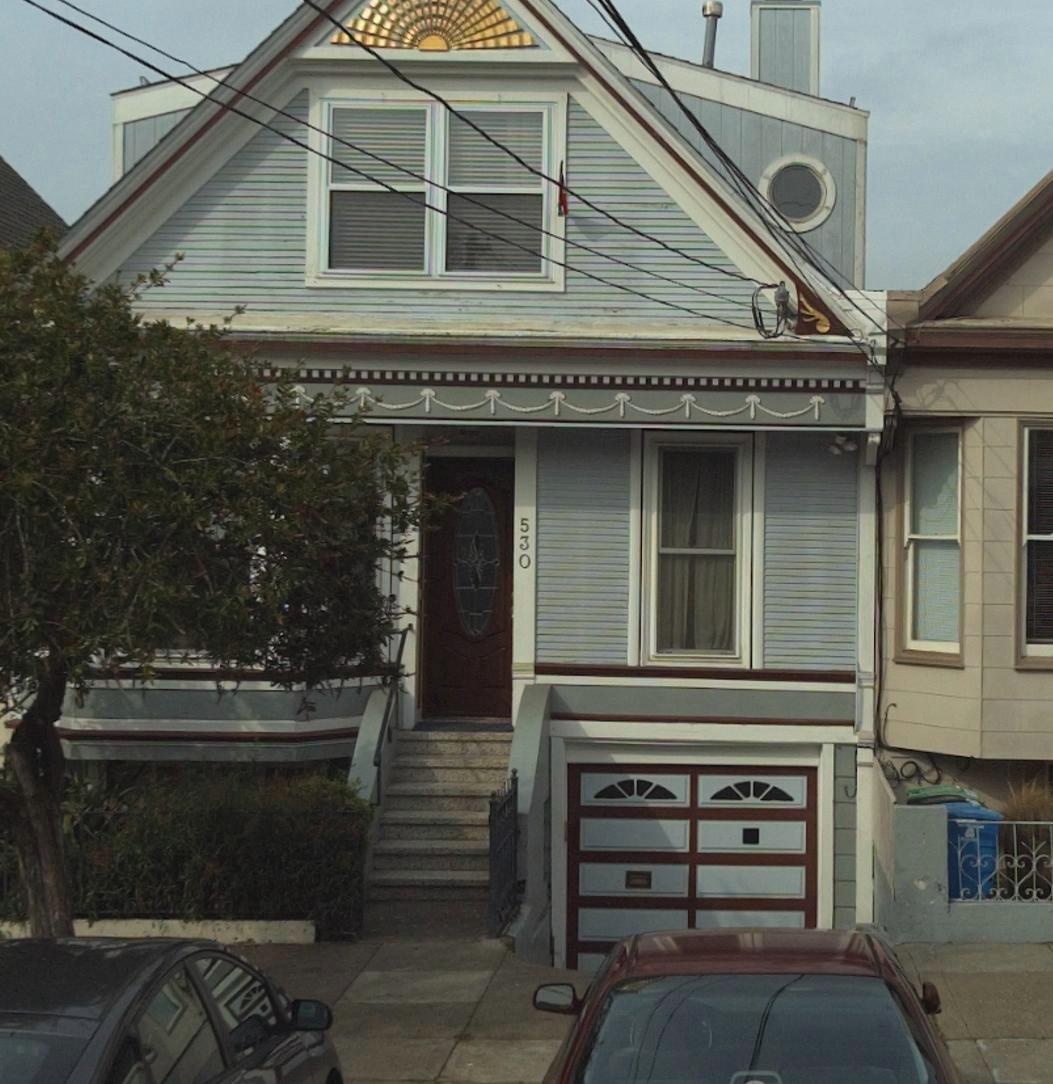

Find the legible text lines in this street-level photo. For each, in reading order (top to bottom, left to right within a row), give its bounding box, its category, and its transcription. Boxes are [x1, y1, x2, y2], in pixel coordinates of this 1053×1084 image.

[517, 516, 532, 570] StreetNumber: 530